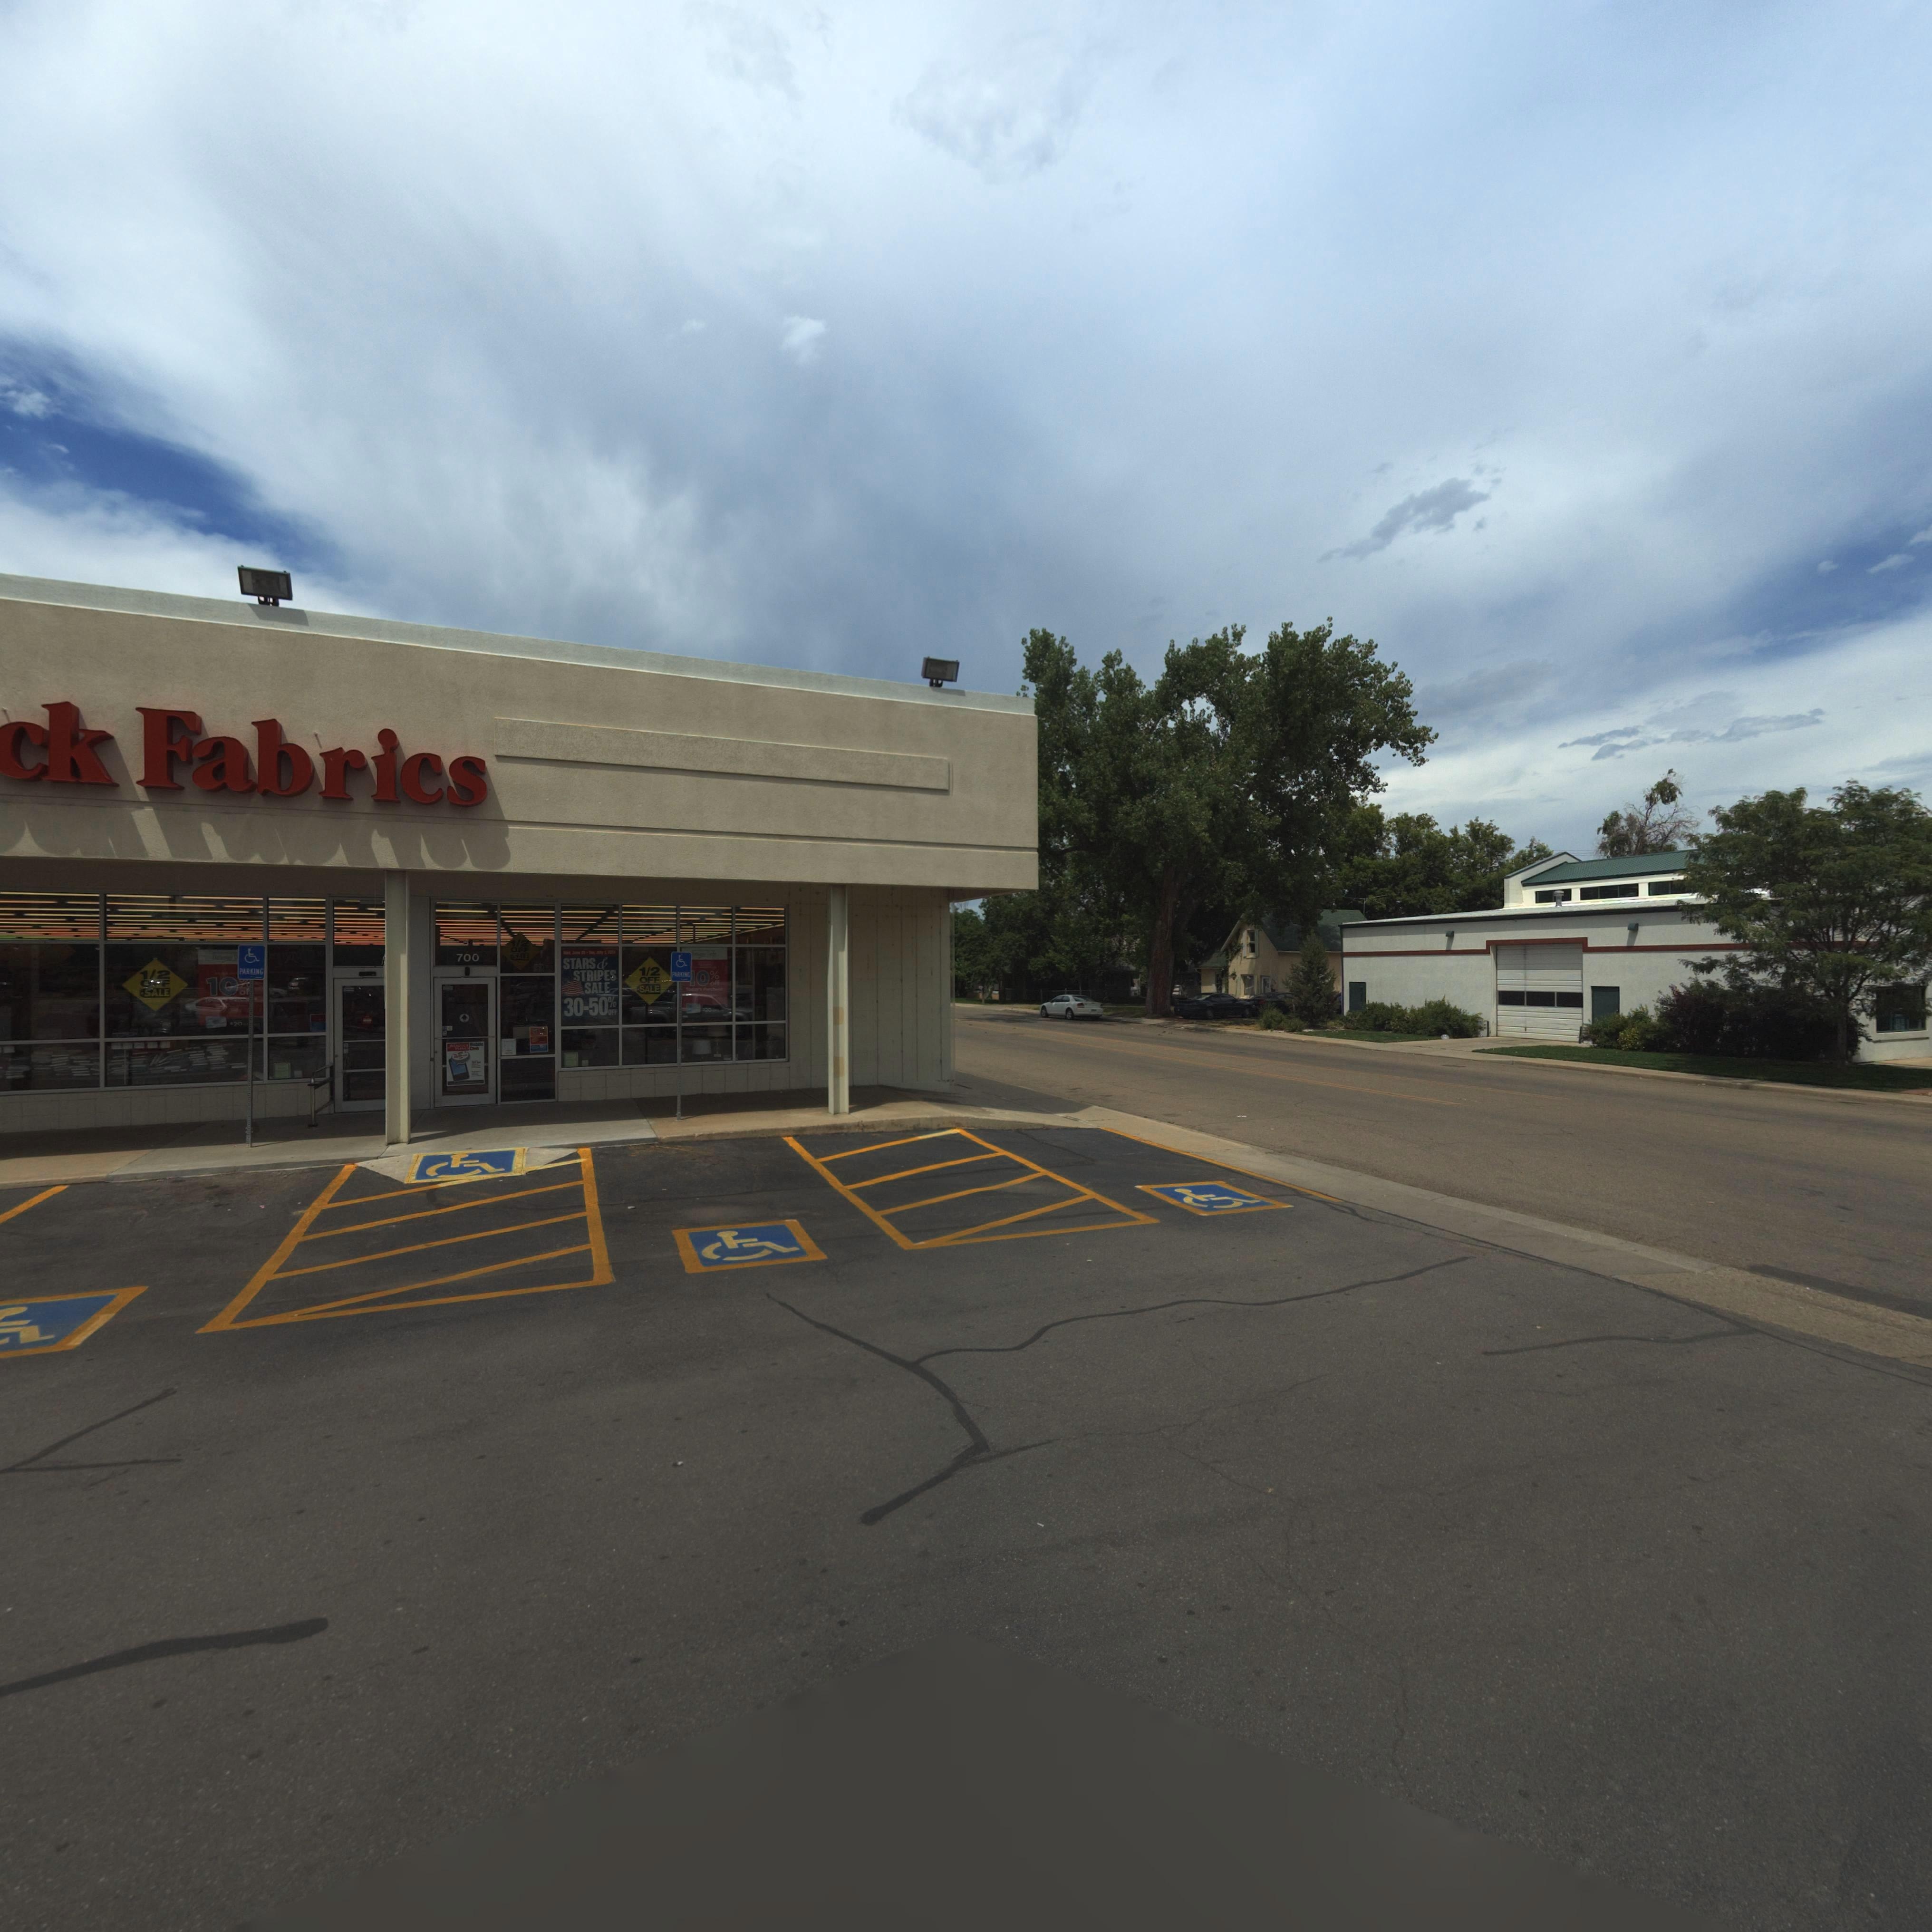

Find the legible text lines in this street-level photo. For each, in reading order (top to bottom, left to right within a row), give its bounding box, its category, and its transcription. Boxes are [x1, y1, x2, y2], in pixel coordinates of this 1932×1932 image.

[1, 697, 491, 809] BusinessName: ck Fabrics
[456, 953, 480, 962] StreetNumber: 700